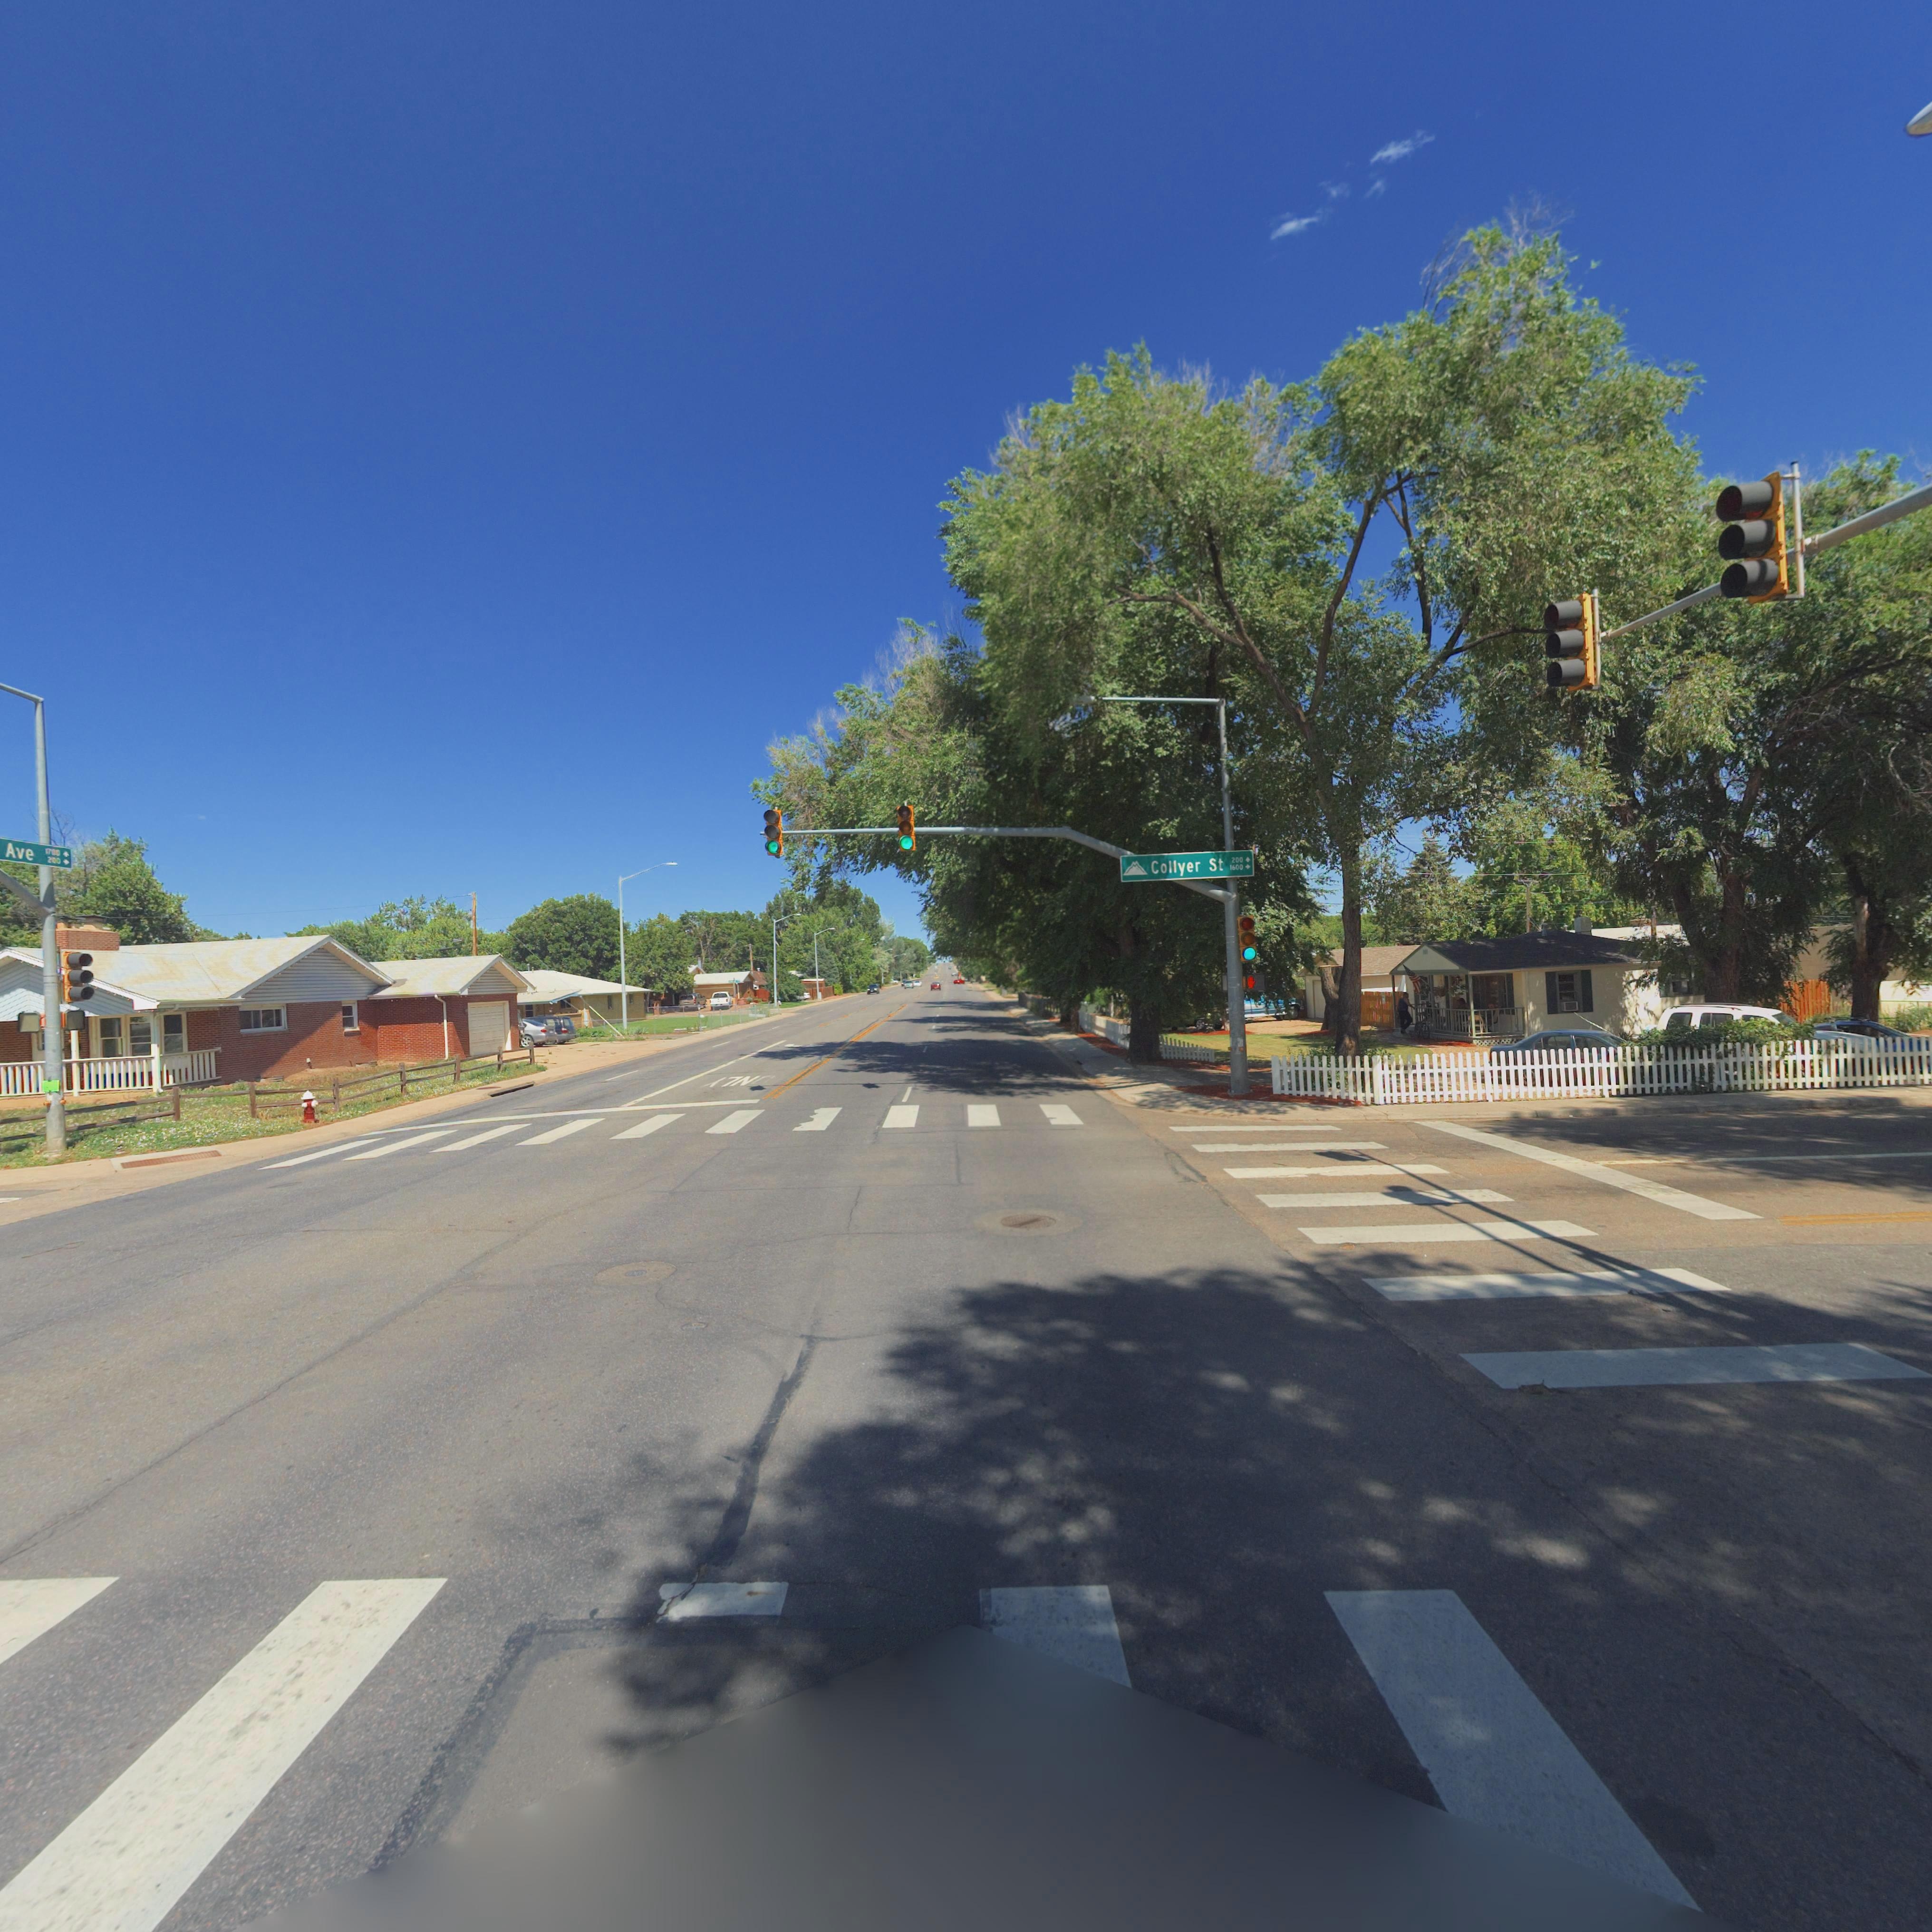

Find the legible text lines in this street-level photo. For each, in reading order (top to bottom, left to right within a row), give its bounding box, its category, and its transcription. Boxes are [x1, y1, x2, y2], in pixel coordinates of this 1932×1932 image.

[5, 842, 34, 861] StreetName: Ave
[45, 848, 61, 856] StreetNumberRange: 1700
[47, 856, 70, 865] StreetNumberRange: 200->
[1231, 857, 1243, 863] StreetNumberRange: 200
[1150, 857, 1224, 876] StreetName: Collyer St
[1230, 863, 1251, 870] StreetNumberRange: 1600->